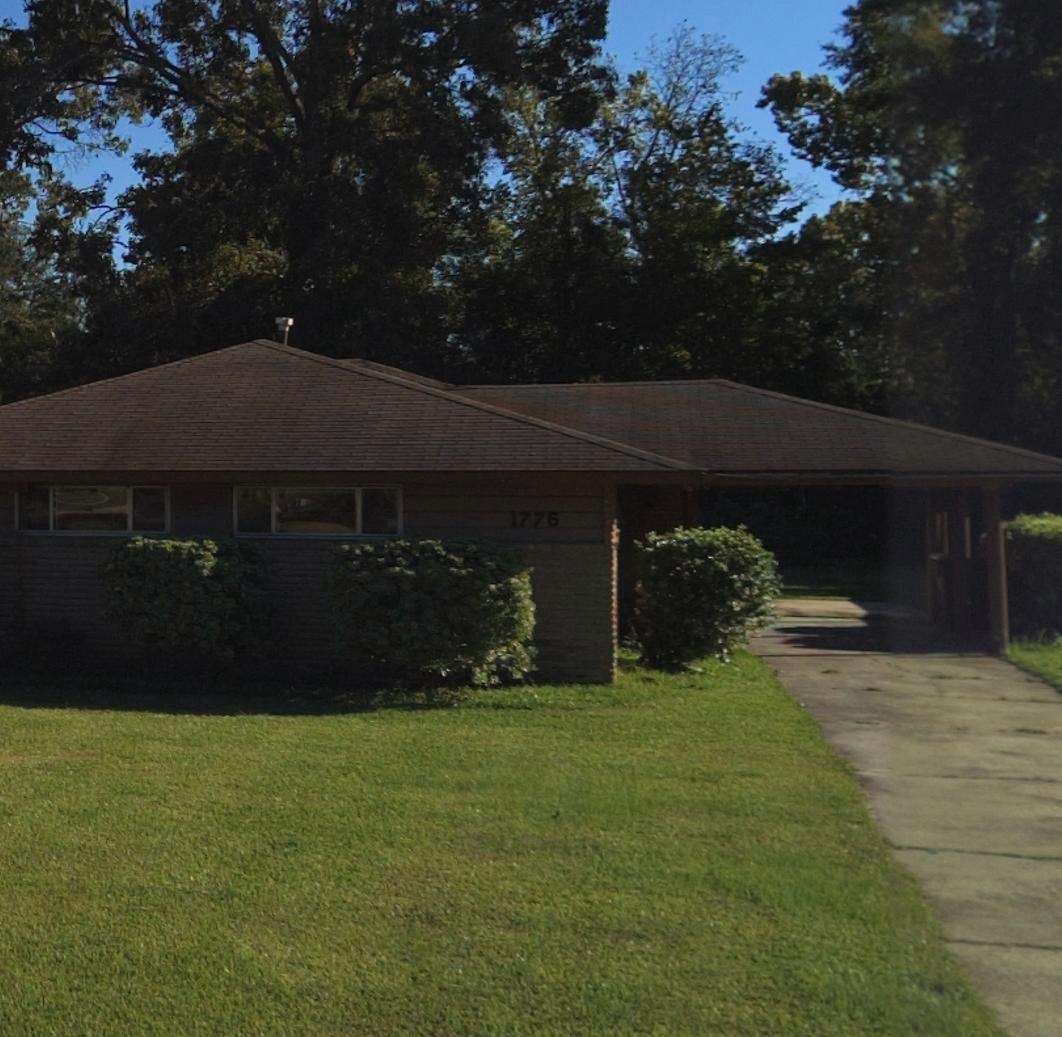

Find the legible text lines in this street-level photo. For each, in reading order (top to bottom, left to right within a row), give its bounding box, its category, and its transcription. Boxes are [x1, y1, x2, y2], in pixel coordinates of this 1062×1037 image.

[508, 509, 560, 529] StreetNumber: 1776